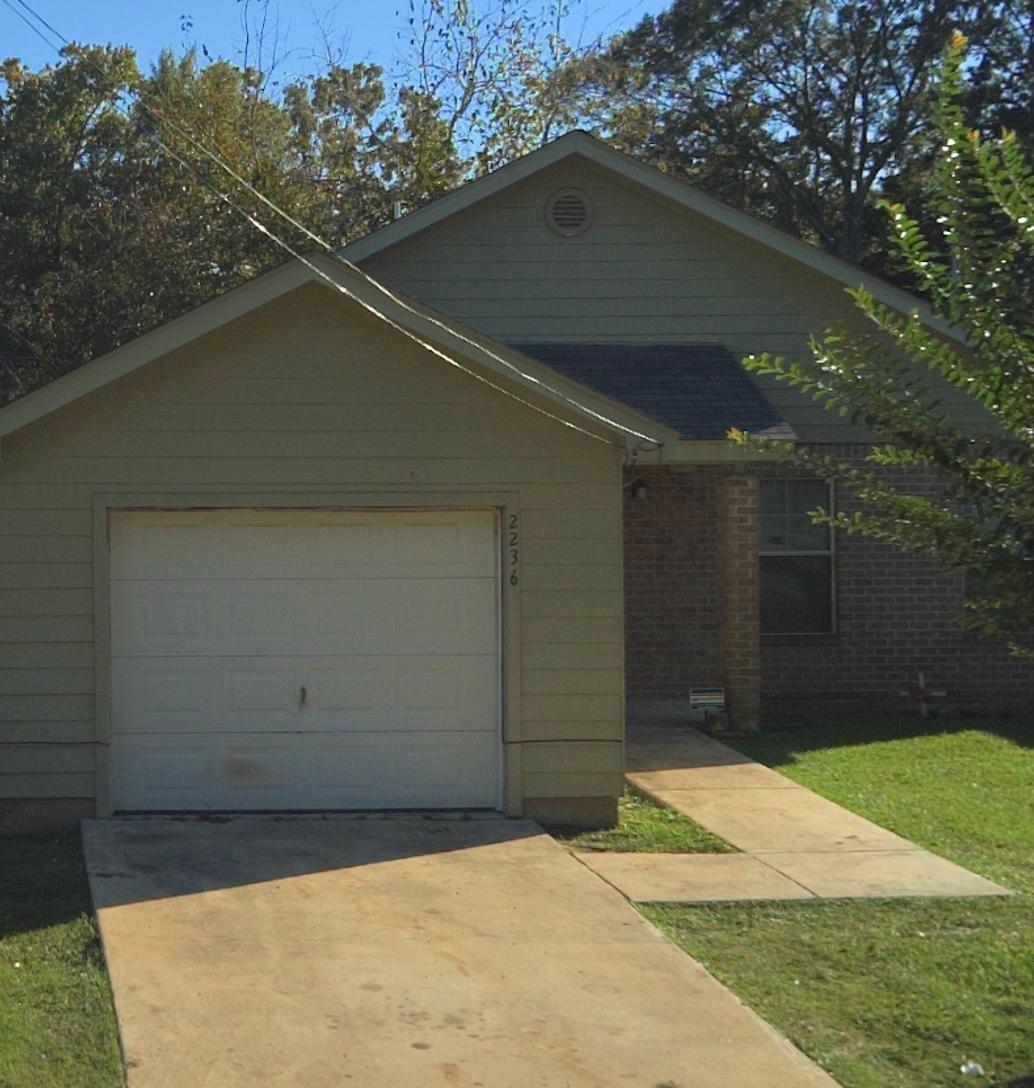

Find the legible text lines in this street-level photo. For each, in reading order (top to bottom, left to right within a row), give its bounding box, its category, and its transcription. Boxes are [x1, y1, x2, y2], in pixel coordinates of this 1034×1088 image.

[507, 512, 519, 588] StreetNumber: 2236